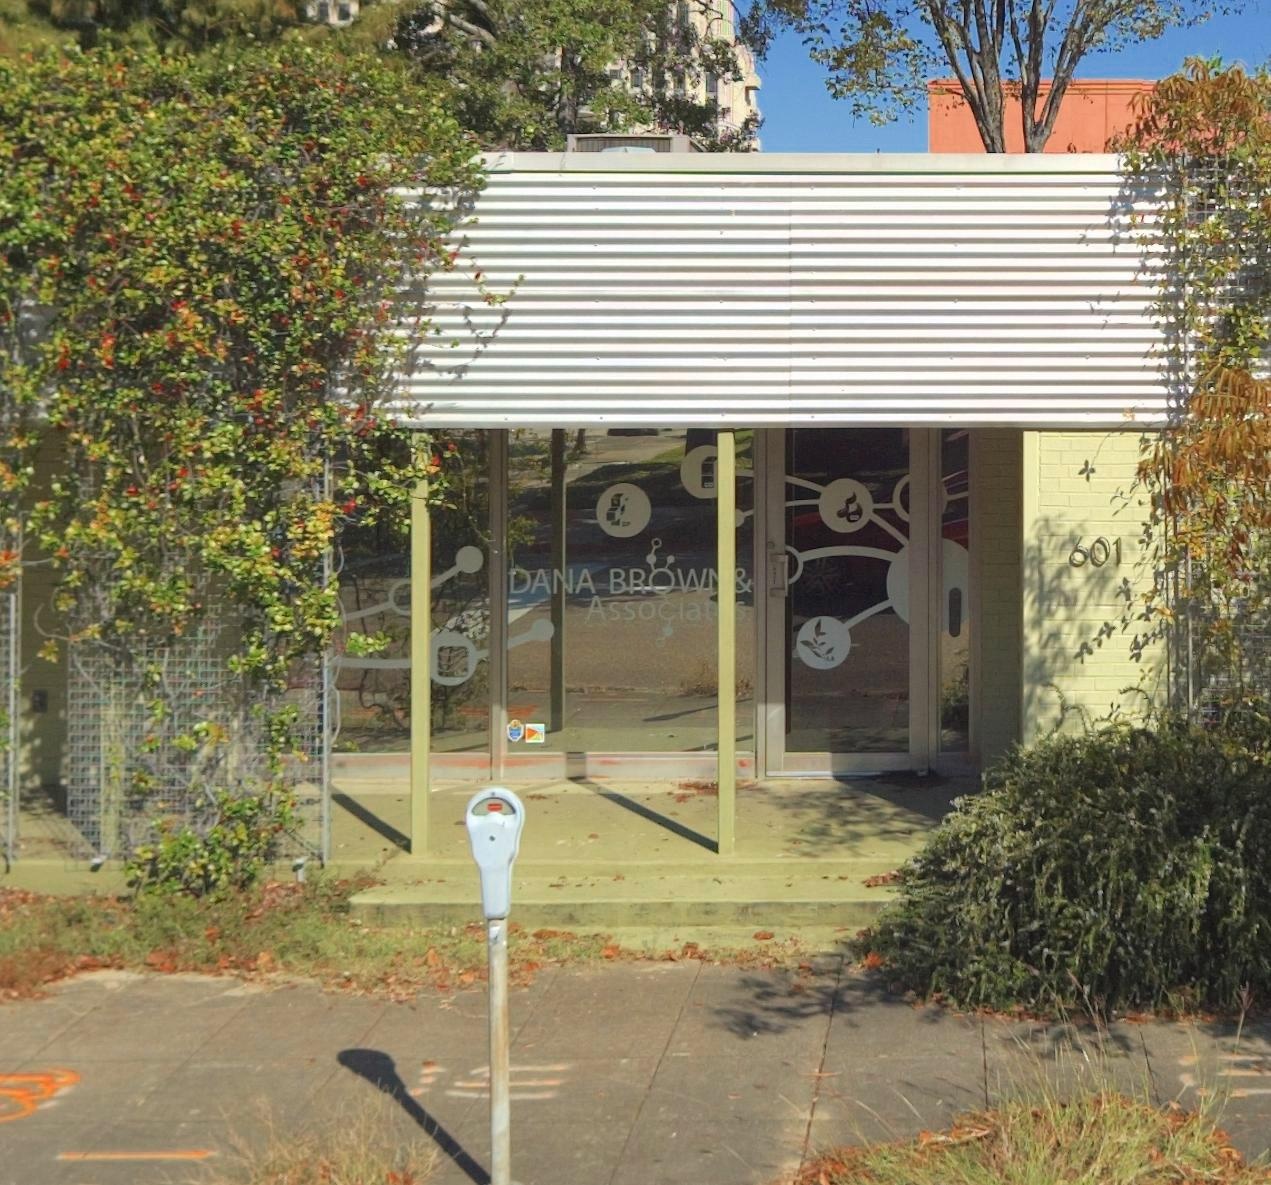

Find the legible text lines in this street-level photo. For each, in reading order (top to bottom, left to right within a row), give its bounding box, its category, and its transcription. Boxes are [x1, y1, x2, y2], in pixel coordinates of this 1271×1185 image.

[507, 565, 721, 597] BusinessName: DANA BROW*
[582, 592, 751, 626] BusinessName: Associat**